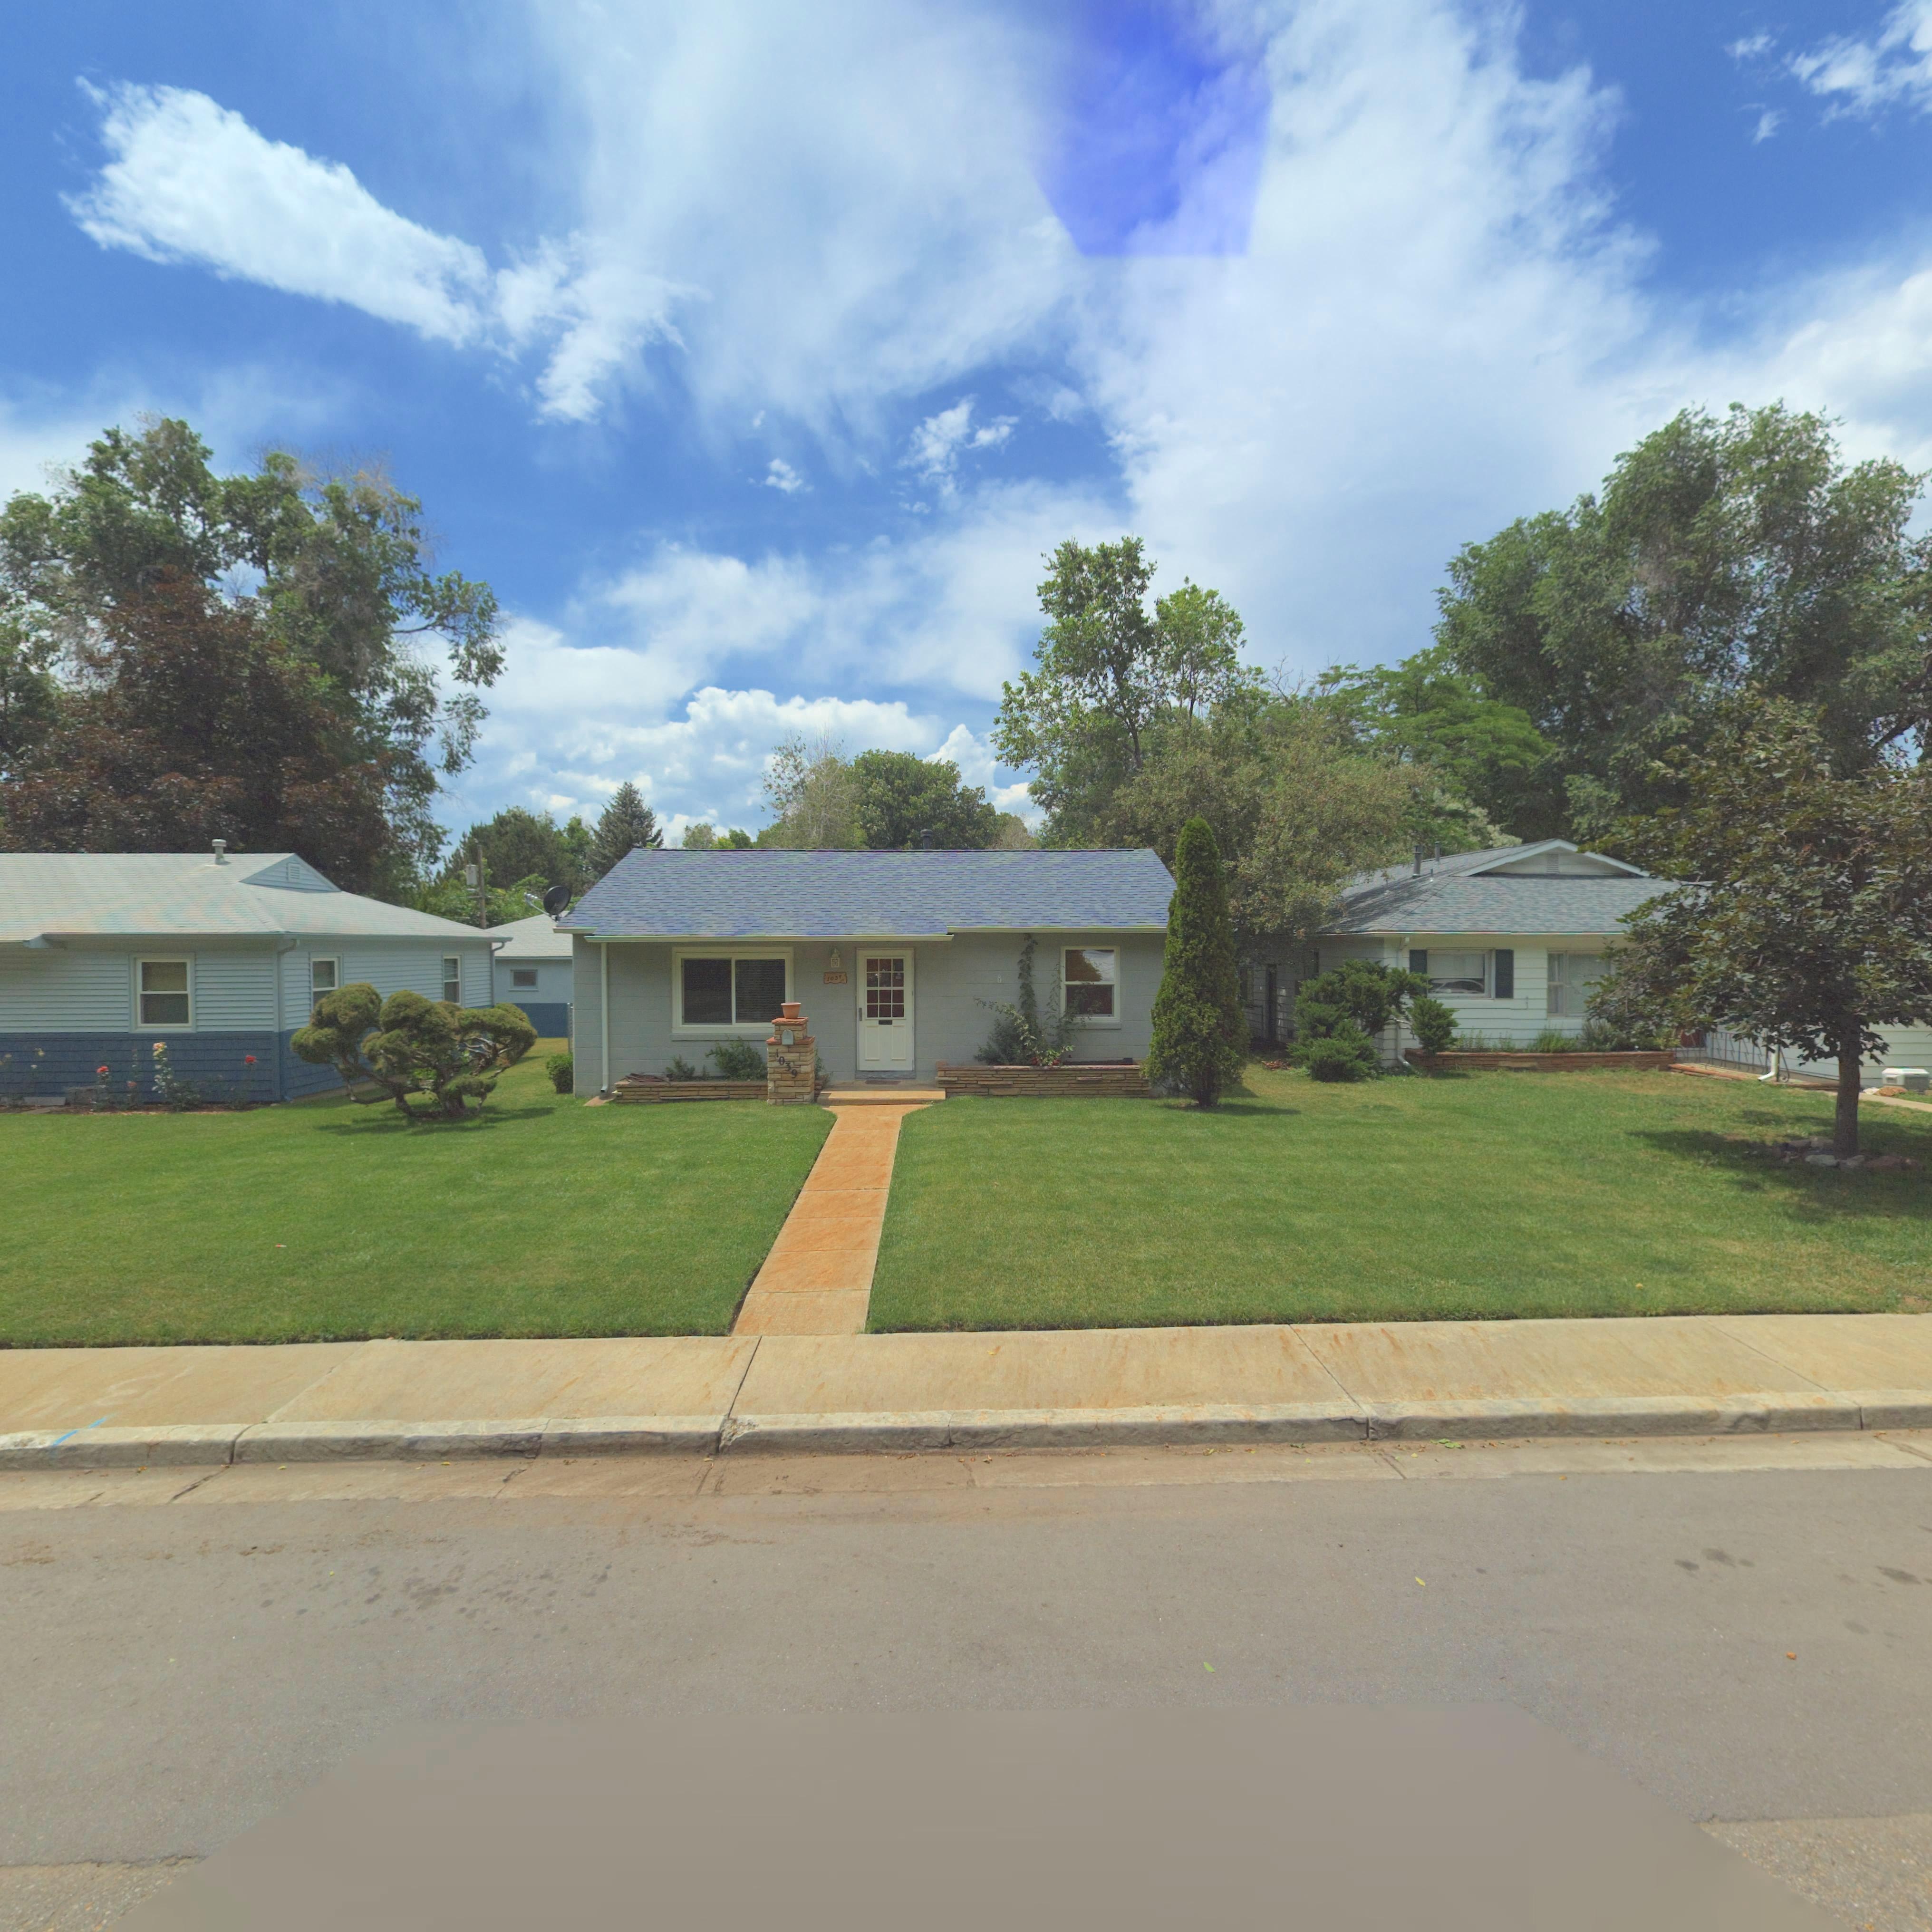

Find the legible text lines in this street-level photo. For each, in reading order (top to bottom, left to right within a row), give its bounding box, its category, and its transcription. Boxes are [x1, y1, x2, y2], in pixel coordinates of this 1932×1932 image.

[827, 975, 841, 981] StreetNumber: 10**
[775, 1048, 798, 1079] StreetNumber: 1039